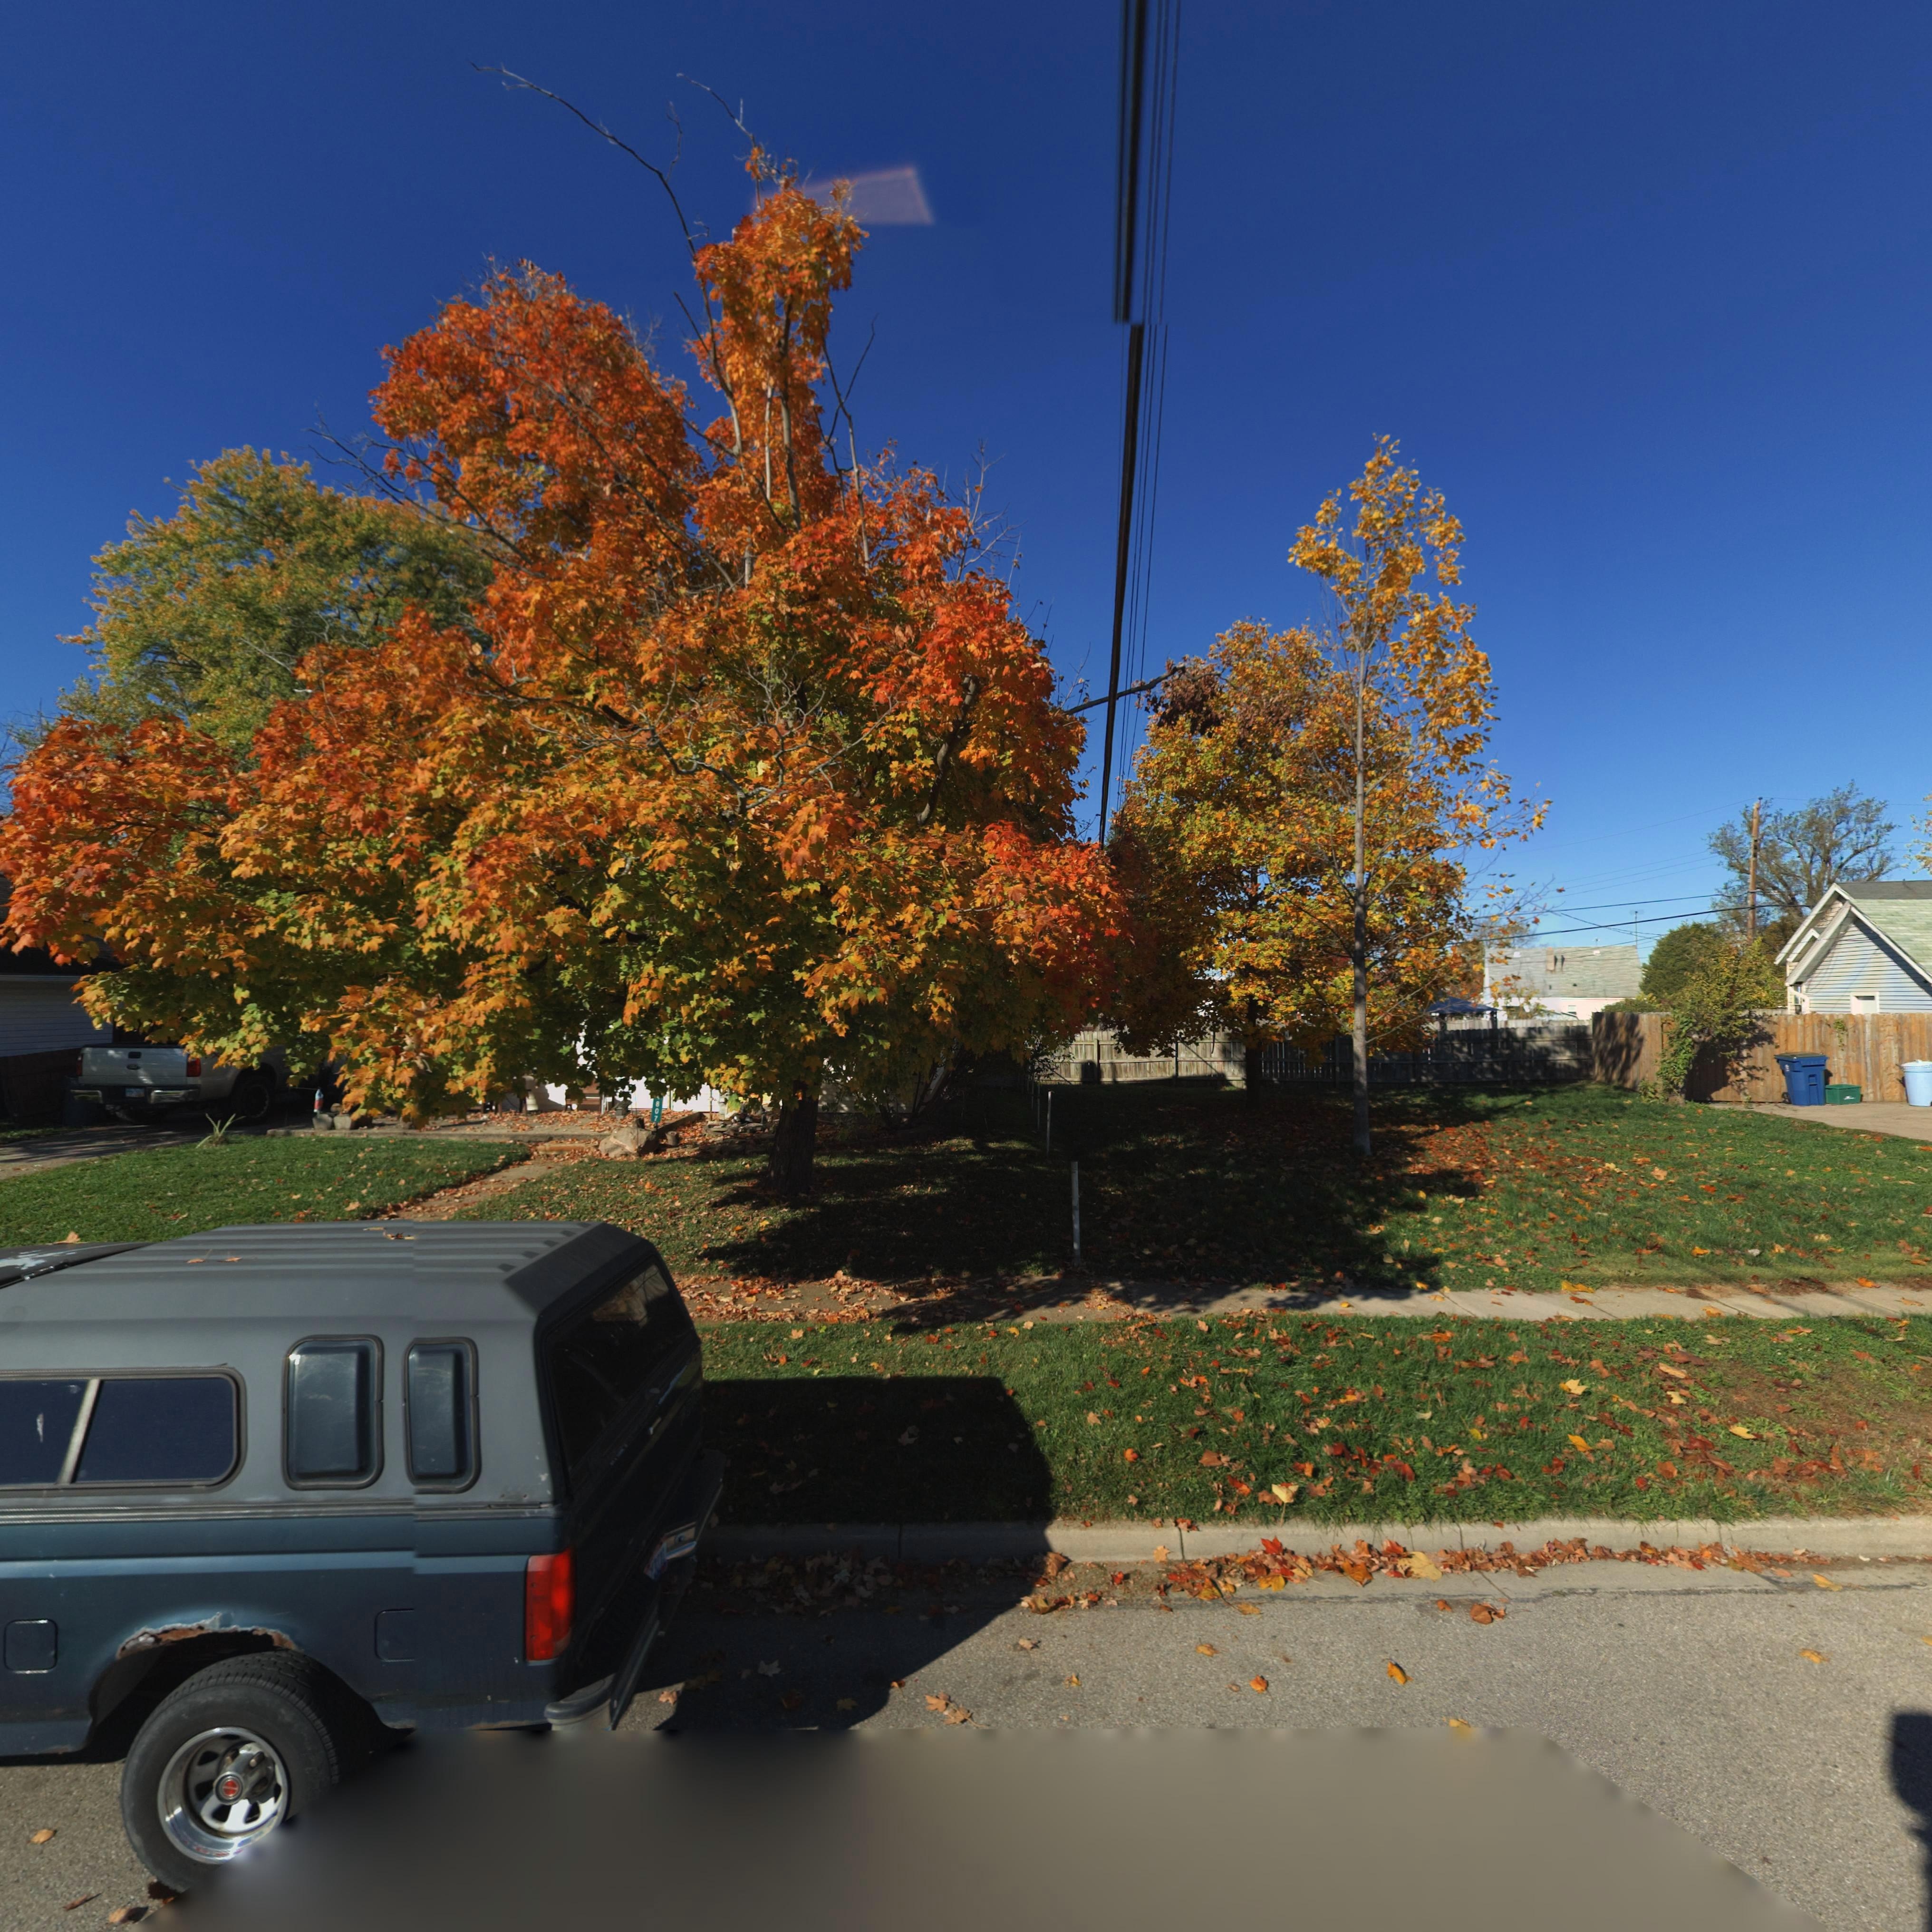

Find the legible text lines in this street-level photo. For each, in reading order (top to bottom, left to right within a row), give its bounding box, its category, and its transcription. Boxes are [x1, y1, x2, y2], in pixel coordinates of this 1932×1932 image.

[653, 1100, 661, 1122] StreetNumber: 807